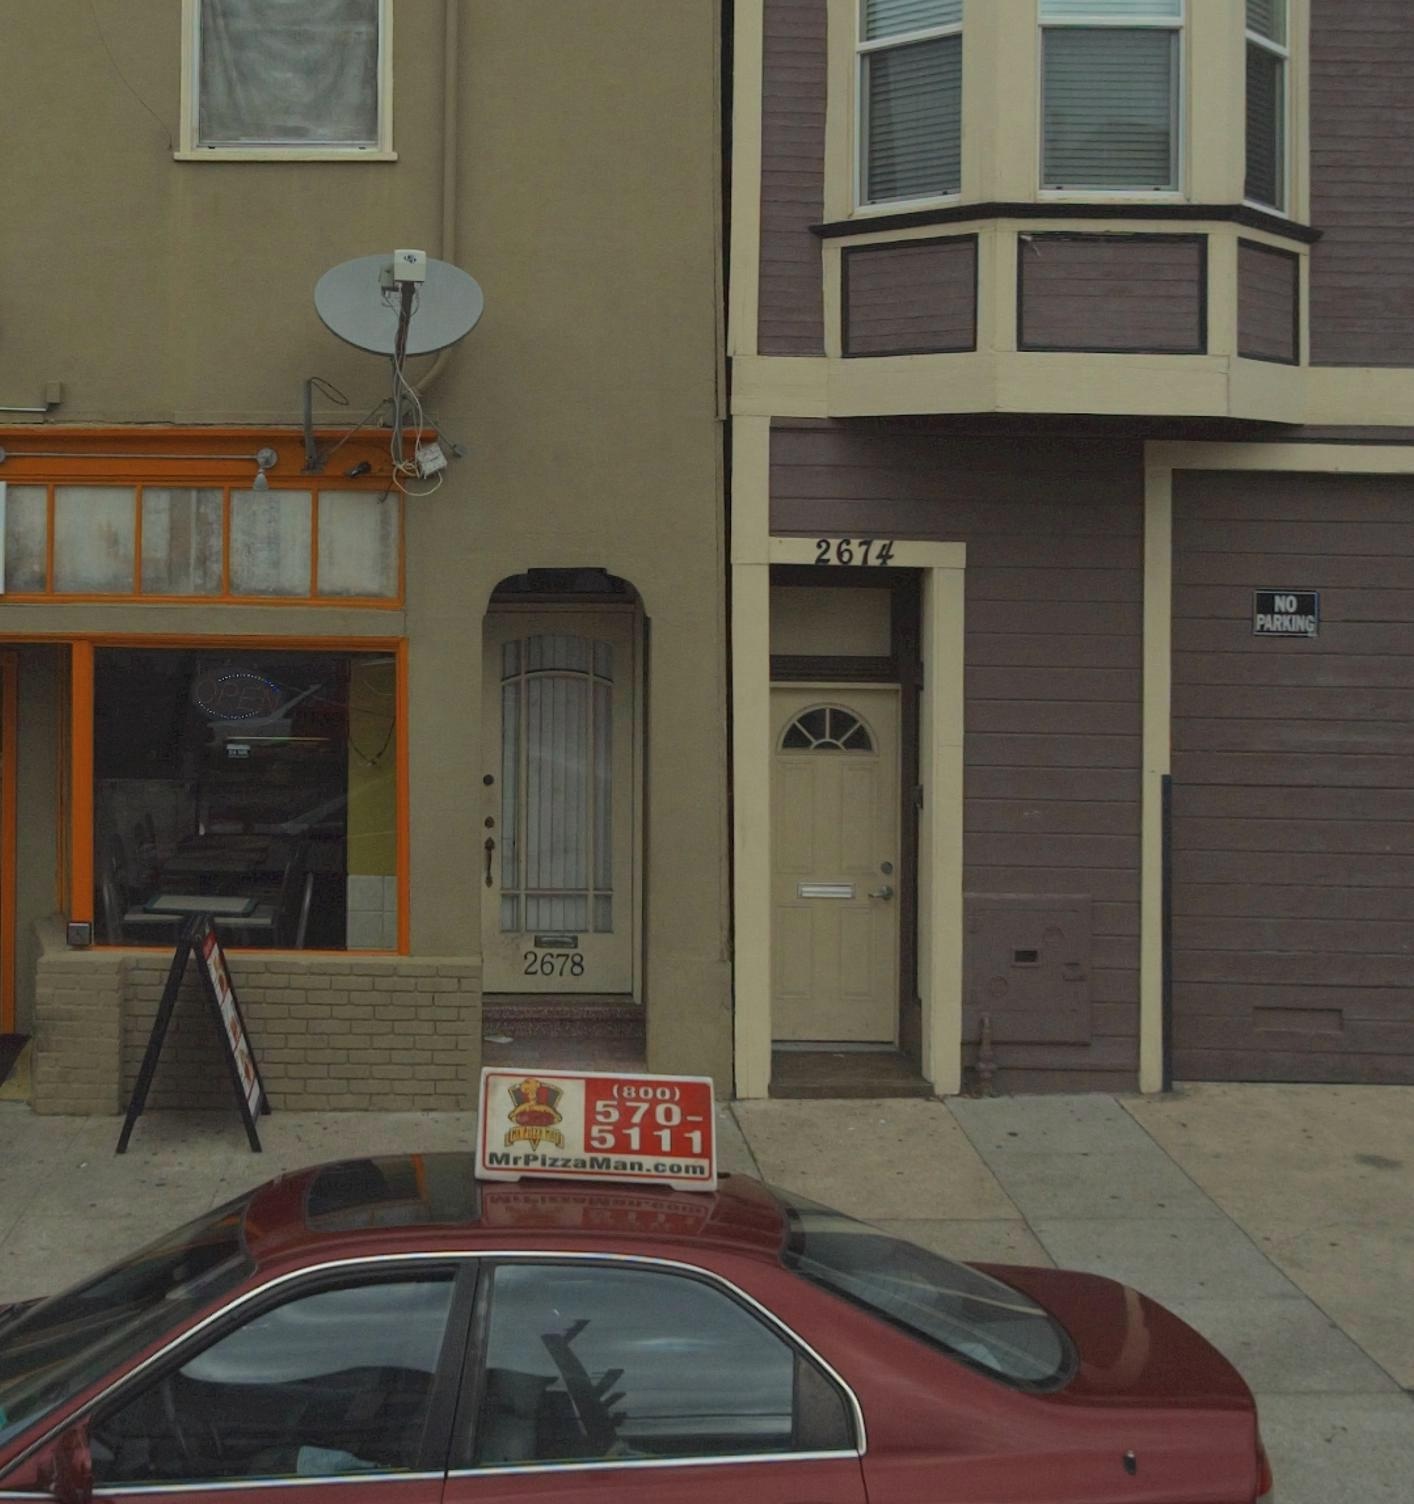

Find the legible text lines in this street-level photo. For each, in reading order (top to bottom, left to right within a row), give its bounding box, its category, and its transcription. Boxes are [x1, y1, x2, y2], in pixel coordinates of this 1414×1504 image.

[814, 538, 895, 566] StreetNumber: 2674
[1271, 594, 1300, 614] None: NO
[1255, 613, 1315, 632] None: PARKING
[194, 677, 283, 719] None: OPEN
[523, 950, 585, 979] StreetNumber: 2678
[608, 1081, 682, 1103] None: (800)
[594, 1097, 683, 1128] None: 570
[589, 1123, 703, 1155] None: 5111
[486, 1150, 707, 1178] None: MrPizzaMan.com